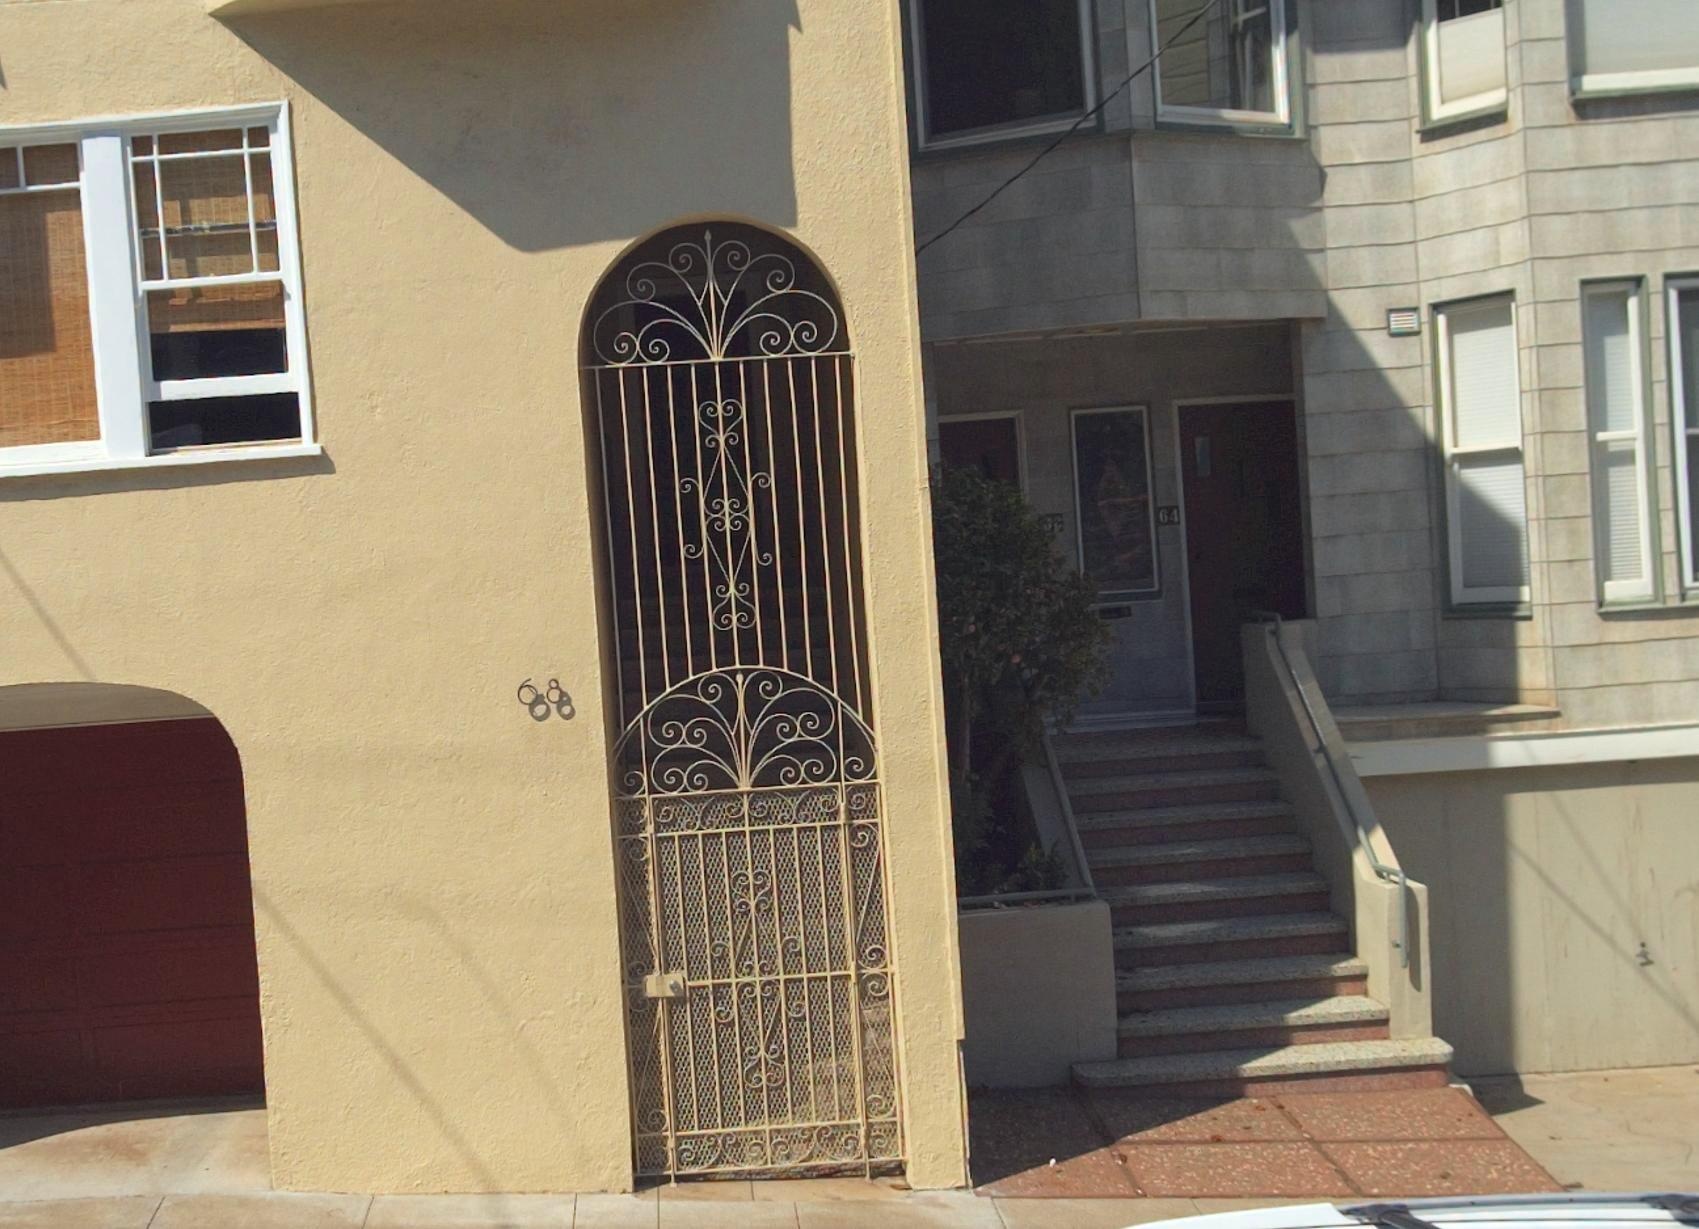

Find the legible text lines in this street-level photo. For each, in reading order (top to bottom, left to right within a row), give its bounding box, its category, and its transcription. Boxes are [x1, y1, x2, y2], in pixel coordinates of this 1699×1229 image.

[1042, 513, 1064, 532] StreetNumber: *2
[1158, 507, 1179, 525] StreetNumber: 64
[516, 676, 564, 706] StreetNumber: 68